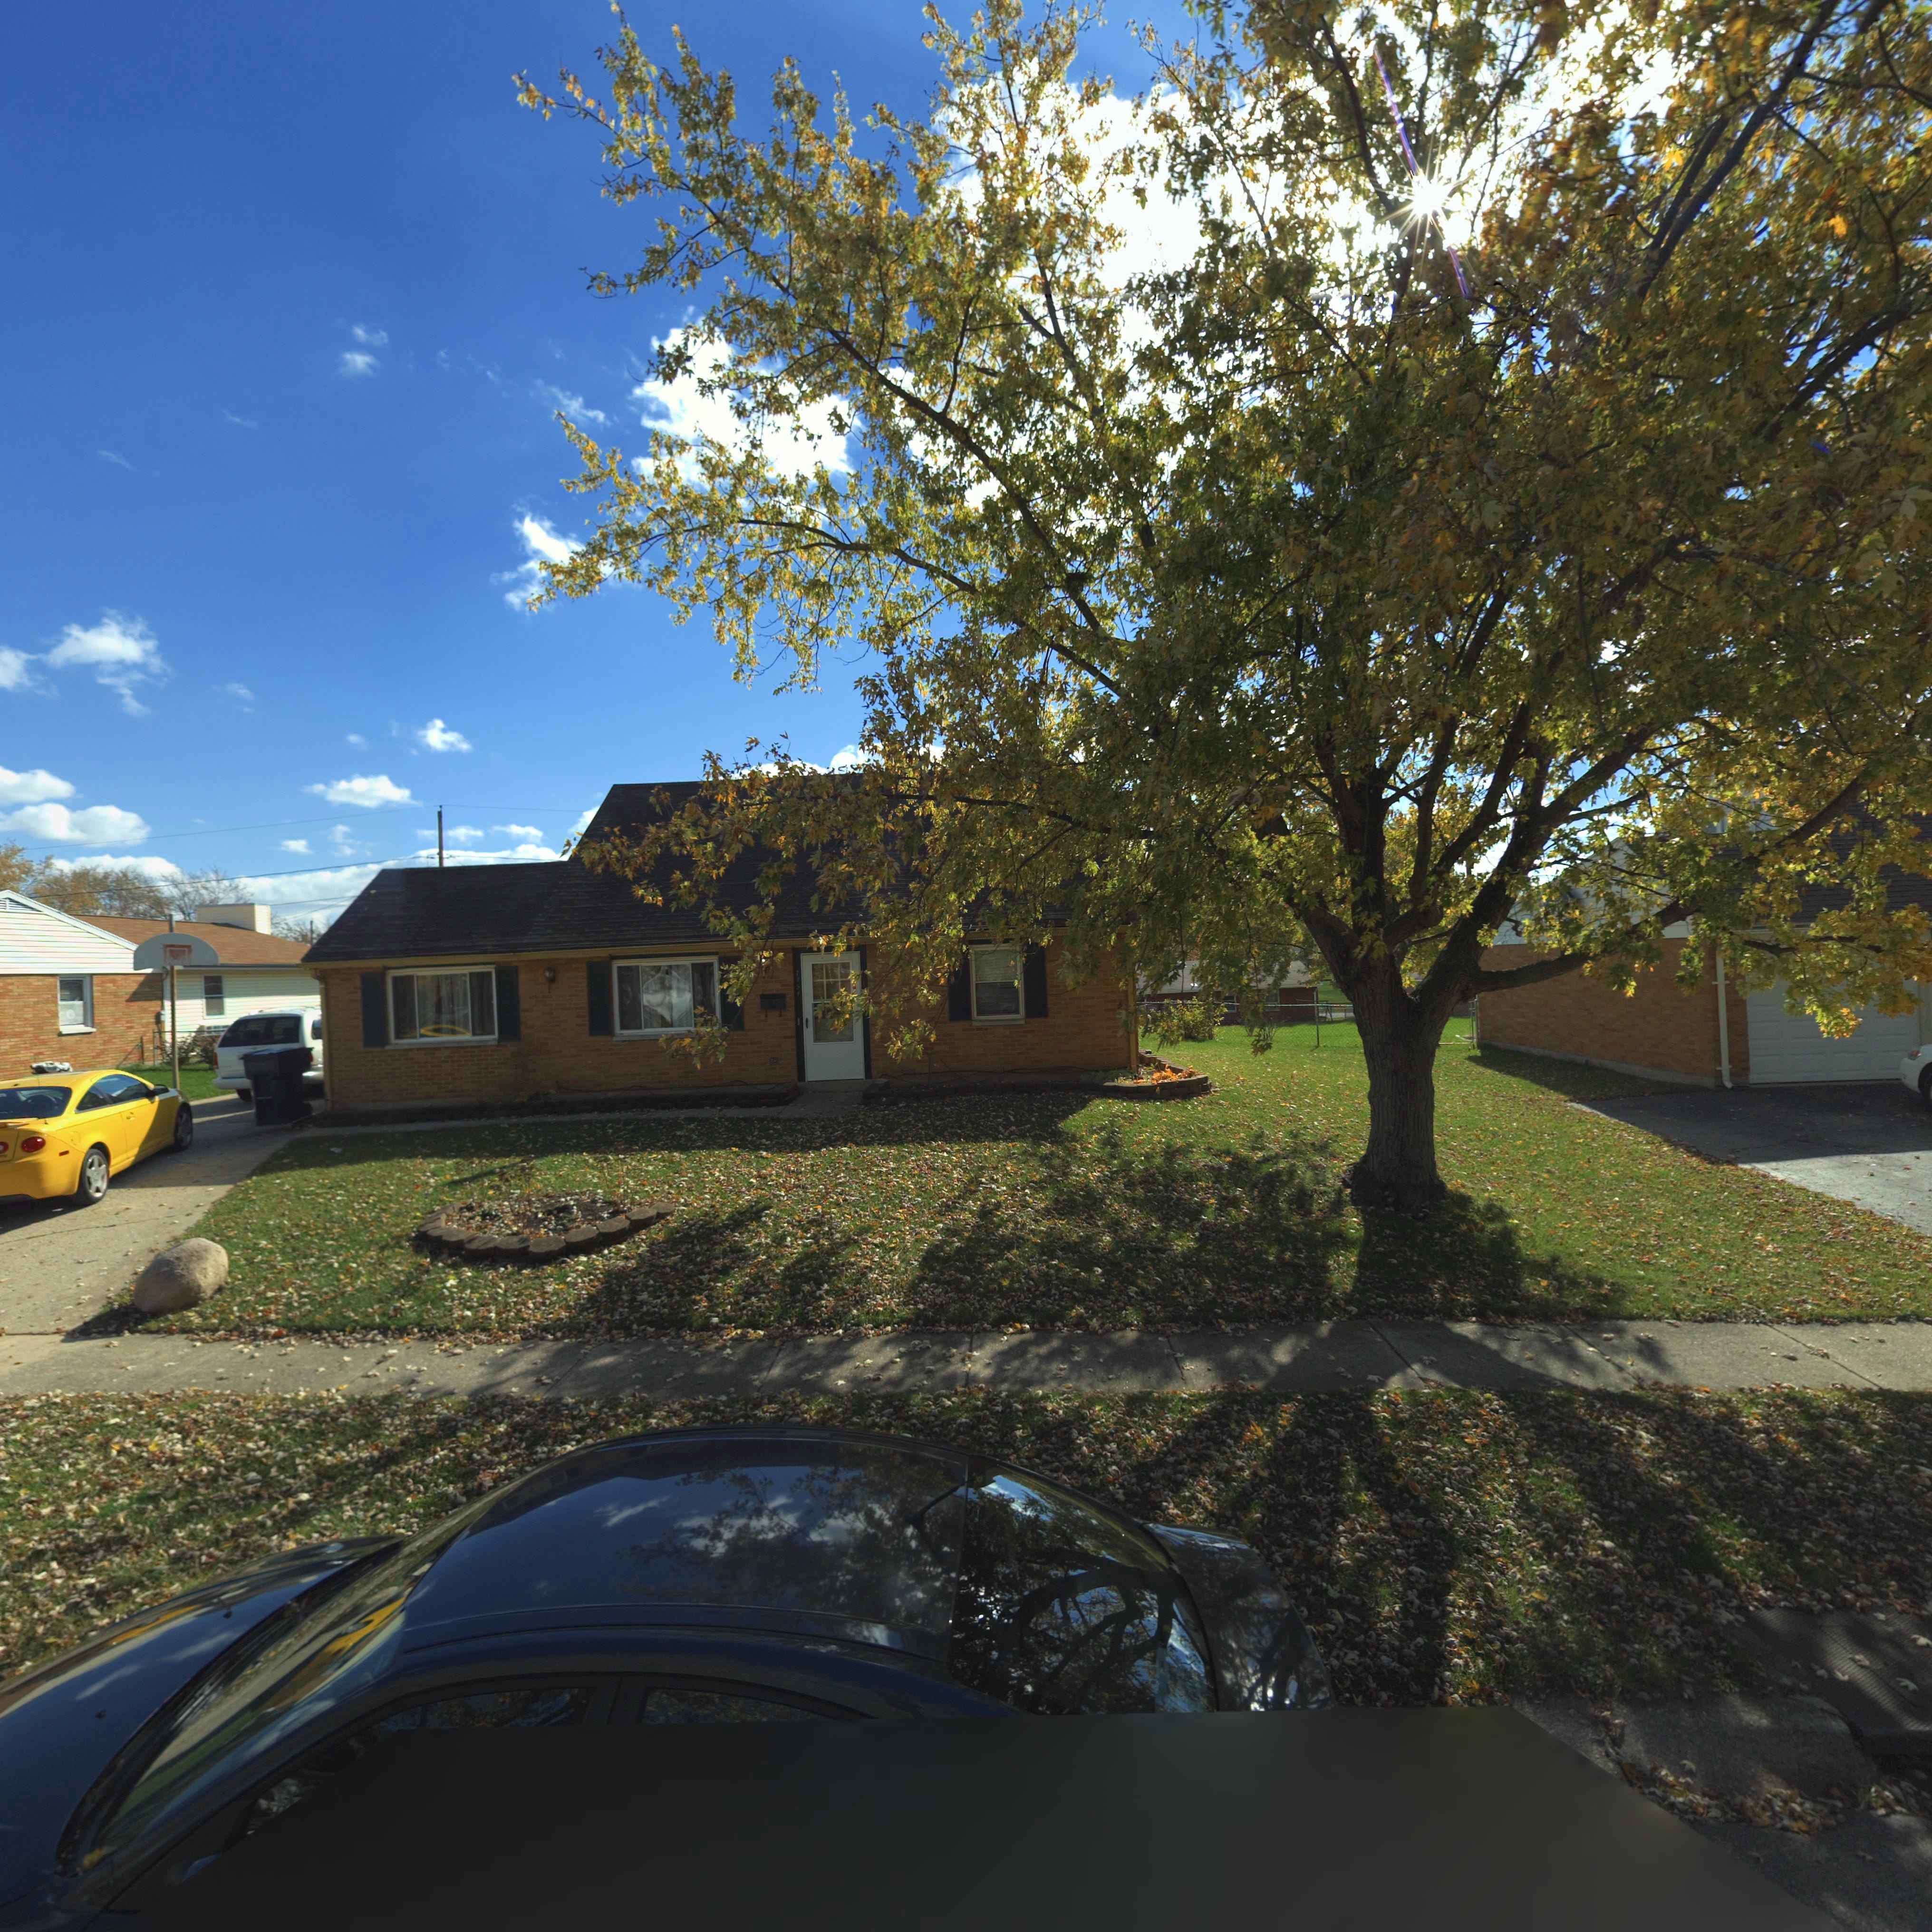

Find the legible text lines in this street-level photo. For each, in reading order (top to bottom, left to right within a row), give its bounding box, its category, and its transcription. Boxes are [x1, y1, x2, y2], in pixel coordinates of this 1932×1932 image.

[795, 970, 801, 997] StreetNumber: 7754